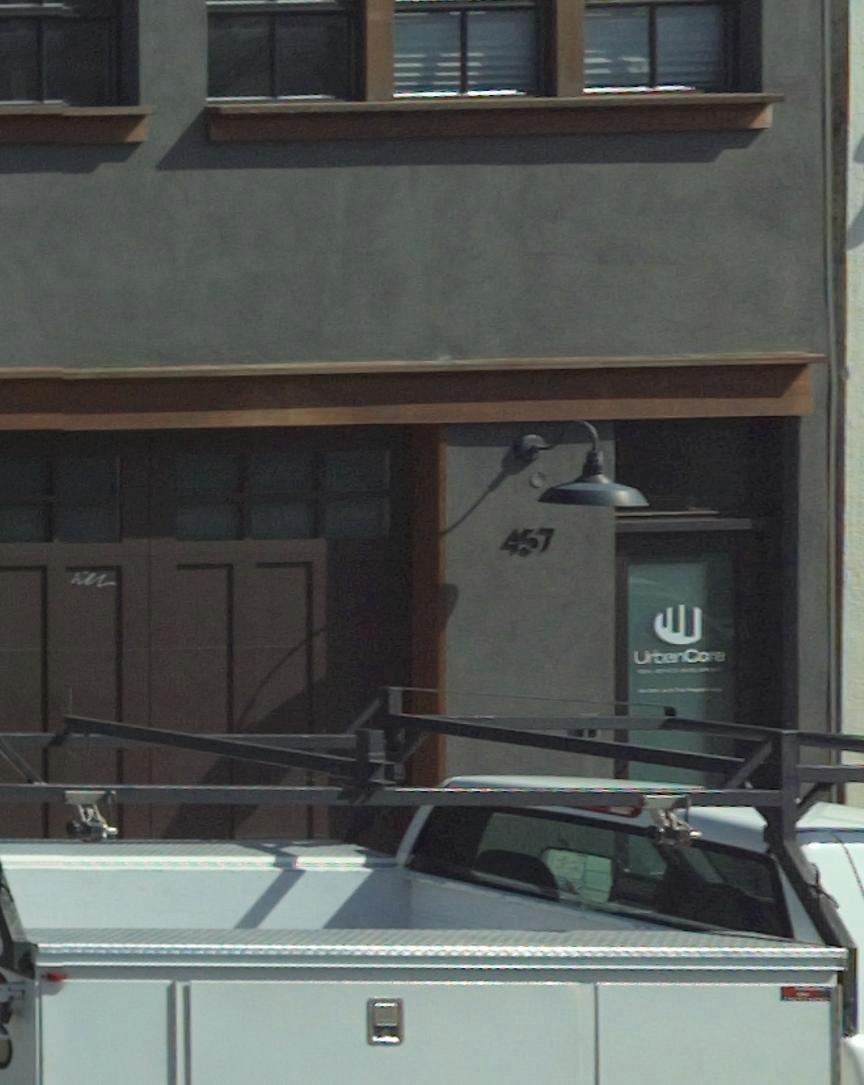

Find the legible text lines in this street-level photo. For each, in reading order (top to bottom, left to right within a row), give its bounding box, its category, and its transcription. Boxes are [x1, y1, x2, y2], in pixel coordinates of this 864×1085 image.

[494, 522, 559, 562] StreetNumber: 457
[630, 645, 732, 668] BusinessName: UtenCore